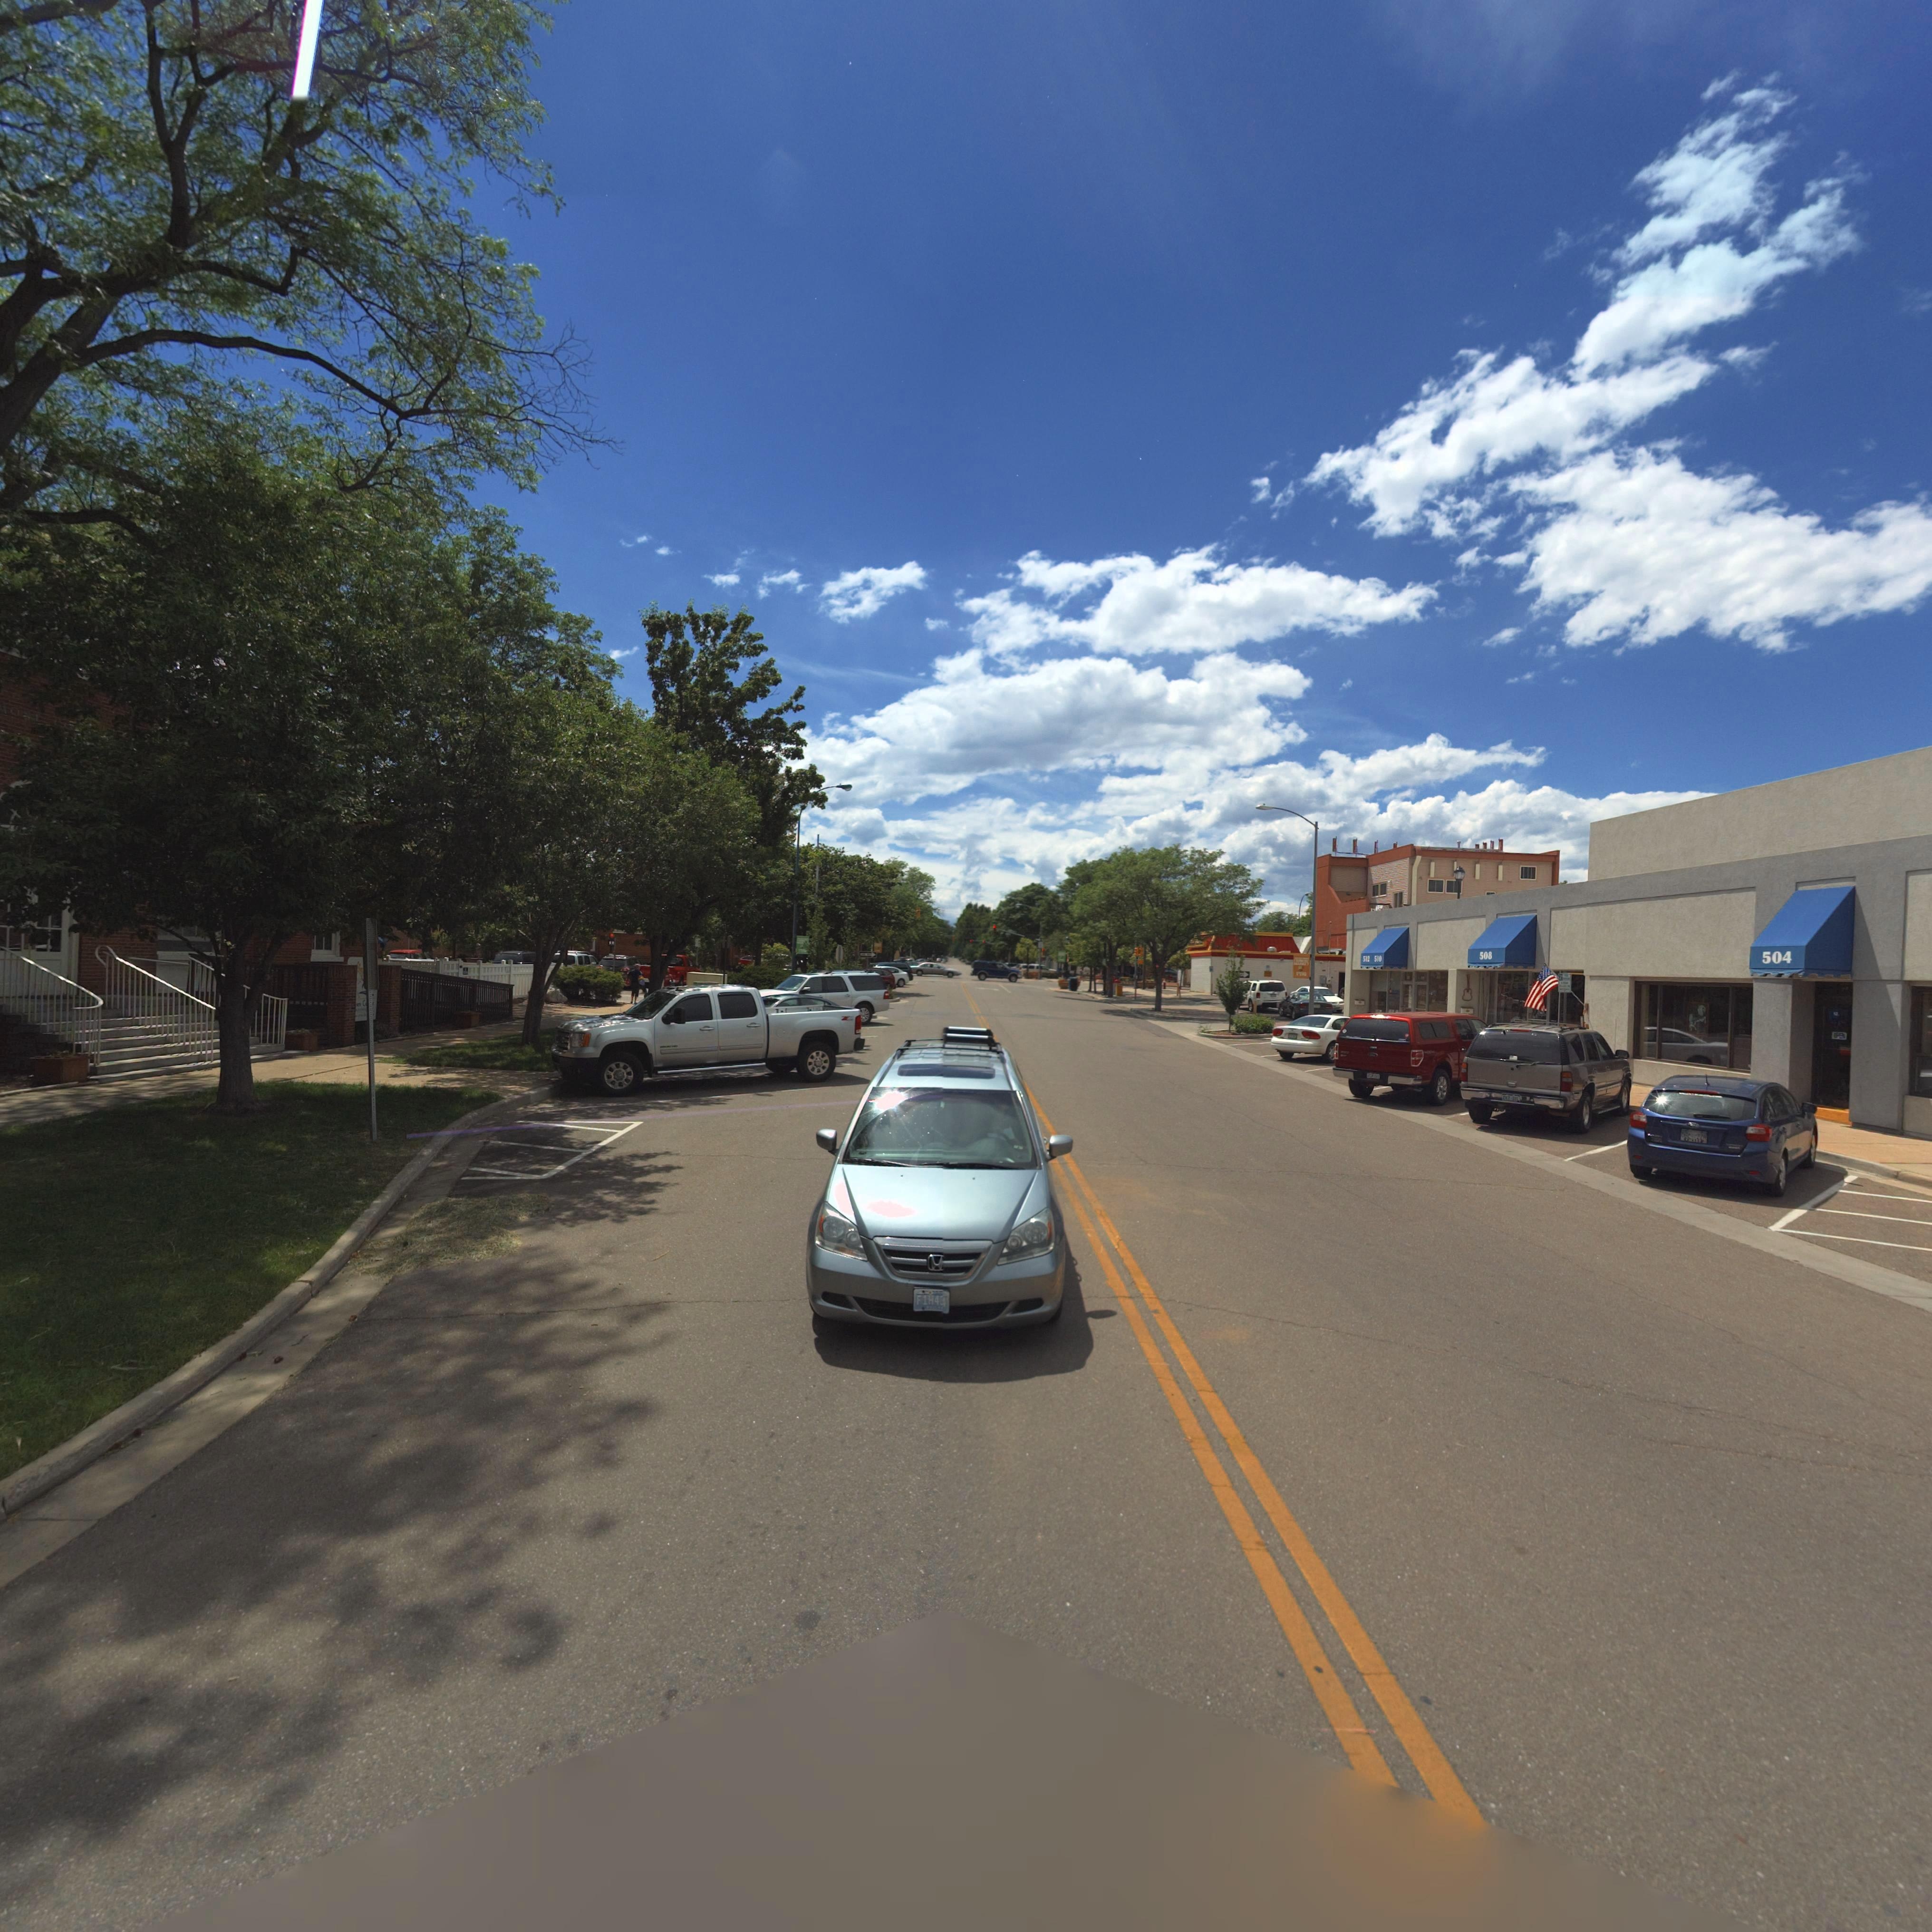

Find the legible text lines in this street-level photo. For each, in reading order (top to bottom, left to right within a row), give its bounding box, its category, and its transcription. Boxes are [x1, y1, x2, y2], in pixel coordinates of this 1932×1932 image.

[1362, 955, 1370, 962] StreetNumber: 512
[1373, 955, 1382, 962] StreetNumber: 510
[1479, 951, 1492, 960] StreetNumber: 508
[1762, 951, 1792, 964] StreetNumber: 504
[357, 999, 365, 1007] BusinessName: en C